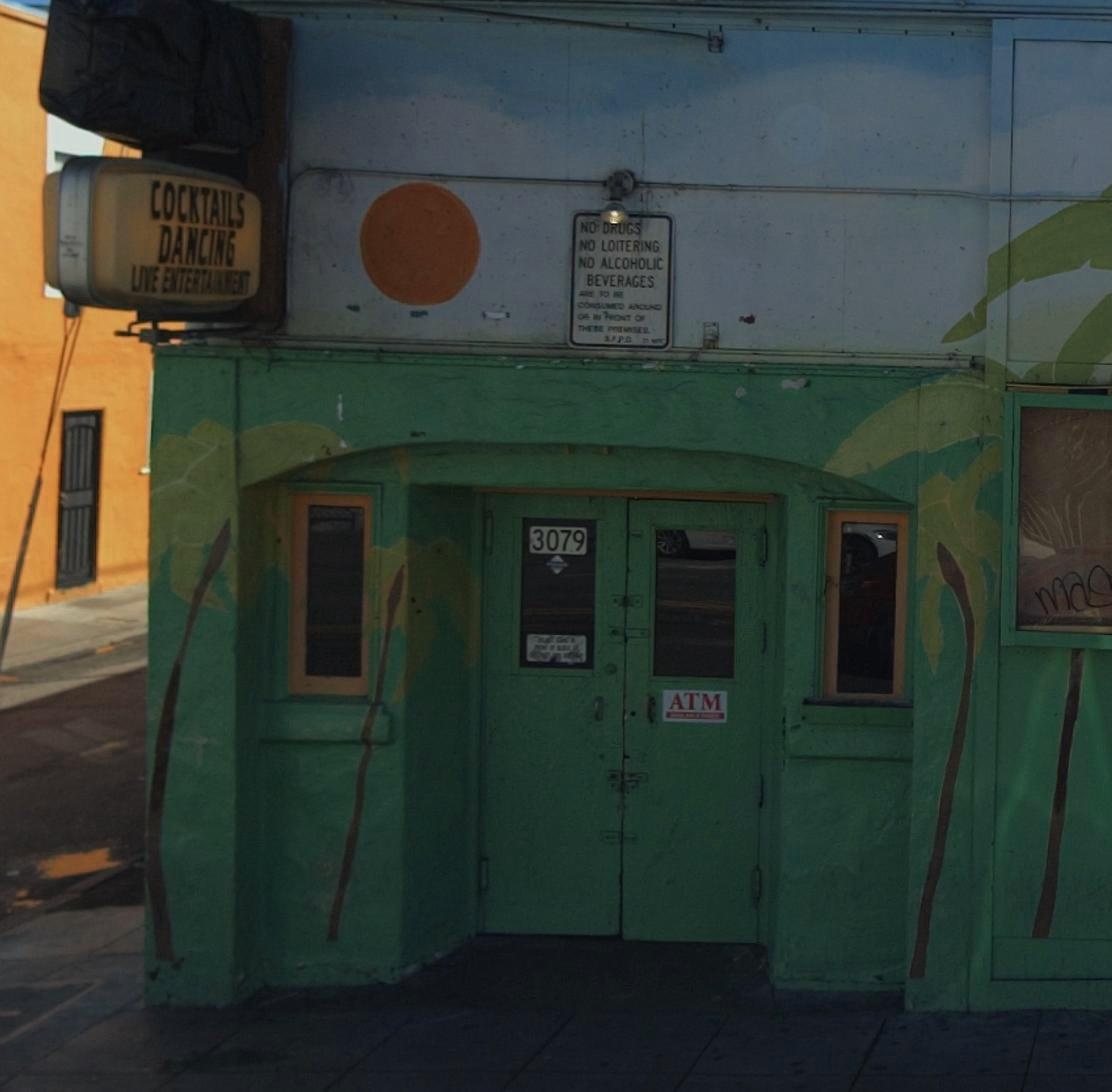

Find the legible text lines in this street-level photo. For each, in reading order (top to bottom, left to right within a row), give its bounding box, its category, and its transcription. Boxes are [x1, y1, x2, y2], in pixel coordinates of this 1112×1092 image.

[147, 176, 249, 231] None: COCKTAILS
[579, 220, 643, 235] None: NO D*UGS
[156, 222, 240, 269] None: DANCING
[577, 235, 662, 254] None: NO LOITERING
[577, 254, 666, 271] None: NO ALCOHOLIC
[129, 261, 254, 297] None: LIVE ENTERTAINMENT
[585, 271, 658, 289] None: BEVERAGES
[531, 528, 586, 552] StreetNumber: 3079
[666, 691, 723, 712] None: ATM